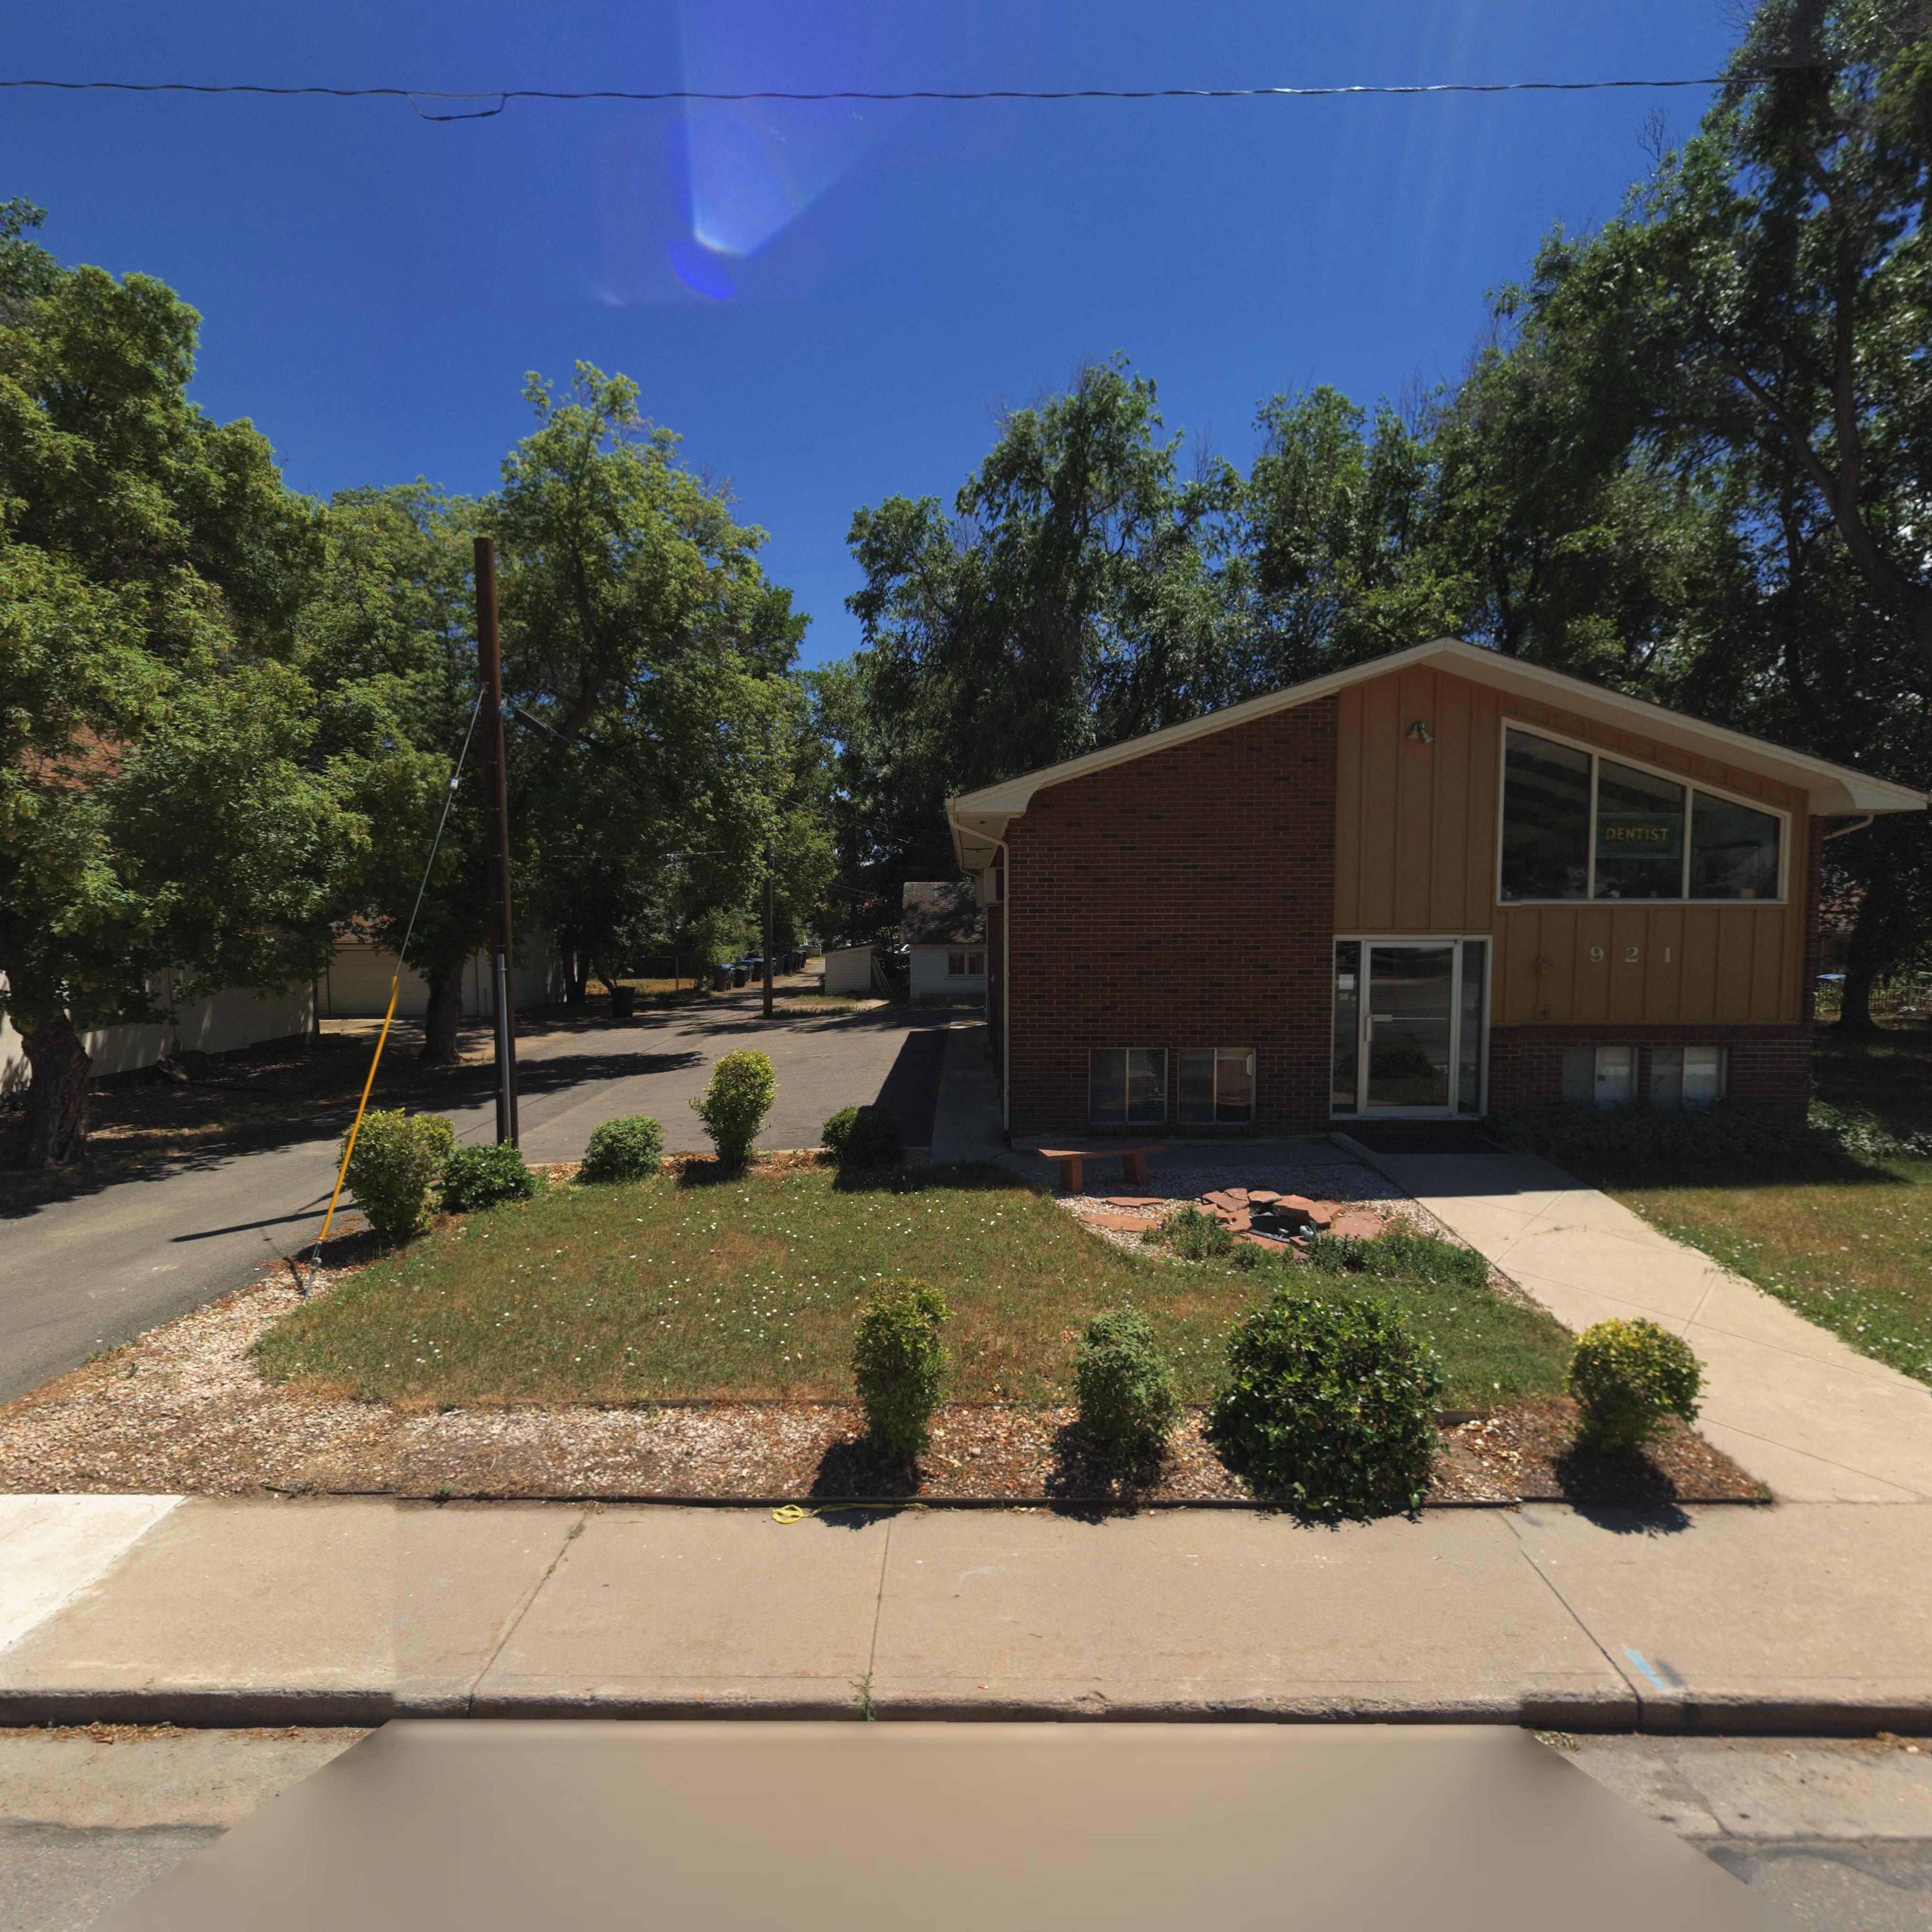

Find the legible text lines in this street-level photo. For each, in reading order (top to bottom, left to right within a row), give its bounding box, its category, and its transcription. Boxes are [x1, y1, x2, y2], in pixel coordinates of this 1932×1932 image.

[1588, 945, 1672, 964] StreetNumber: 921